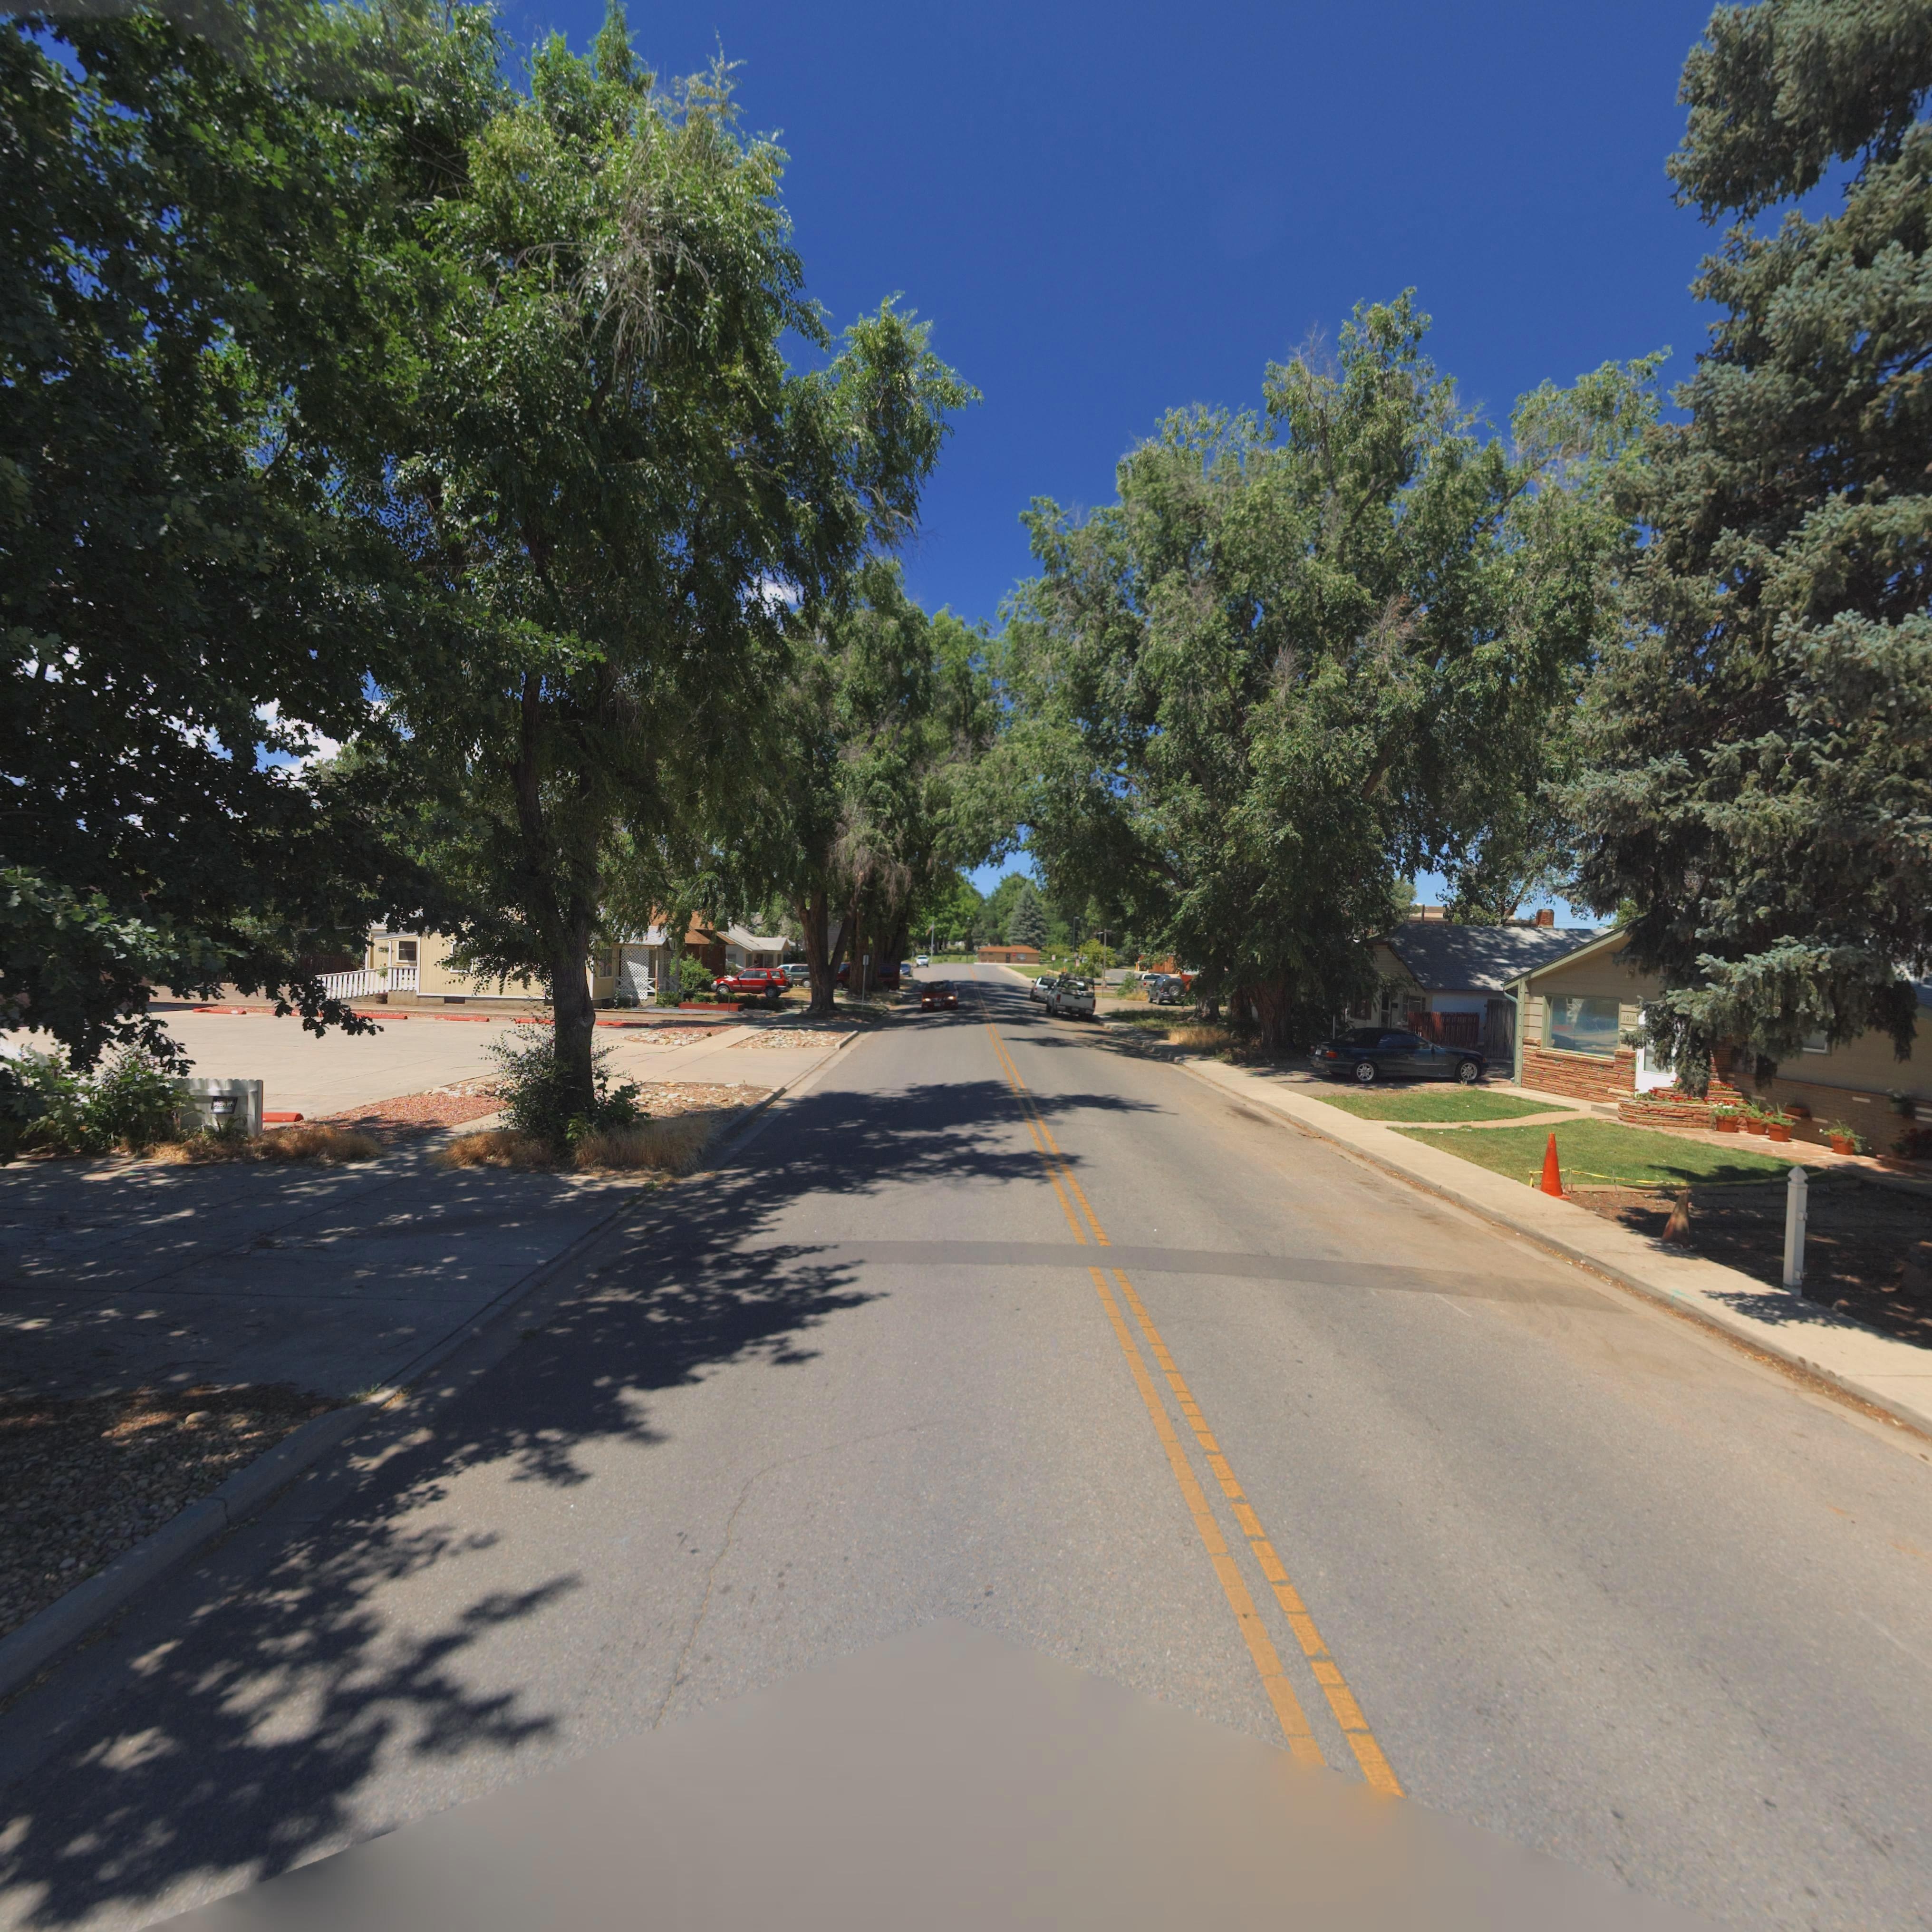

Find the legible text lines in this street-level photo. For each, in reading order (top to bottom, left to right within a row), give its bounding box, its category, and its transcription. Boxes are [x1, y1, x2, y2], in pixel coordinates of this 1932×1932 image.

[1623, 1015, 1635, 1022] StreetNumber: 1010